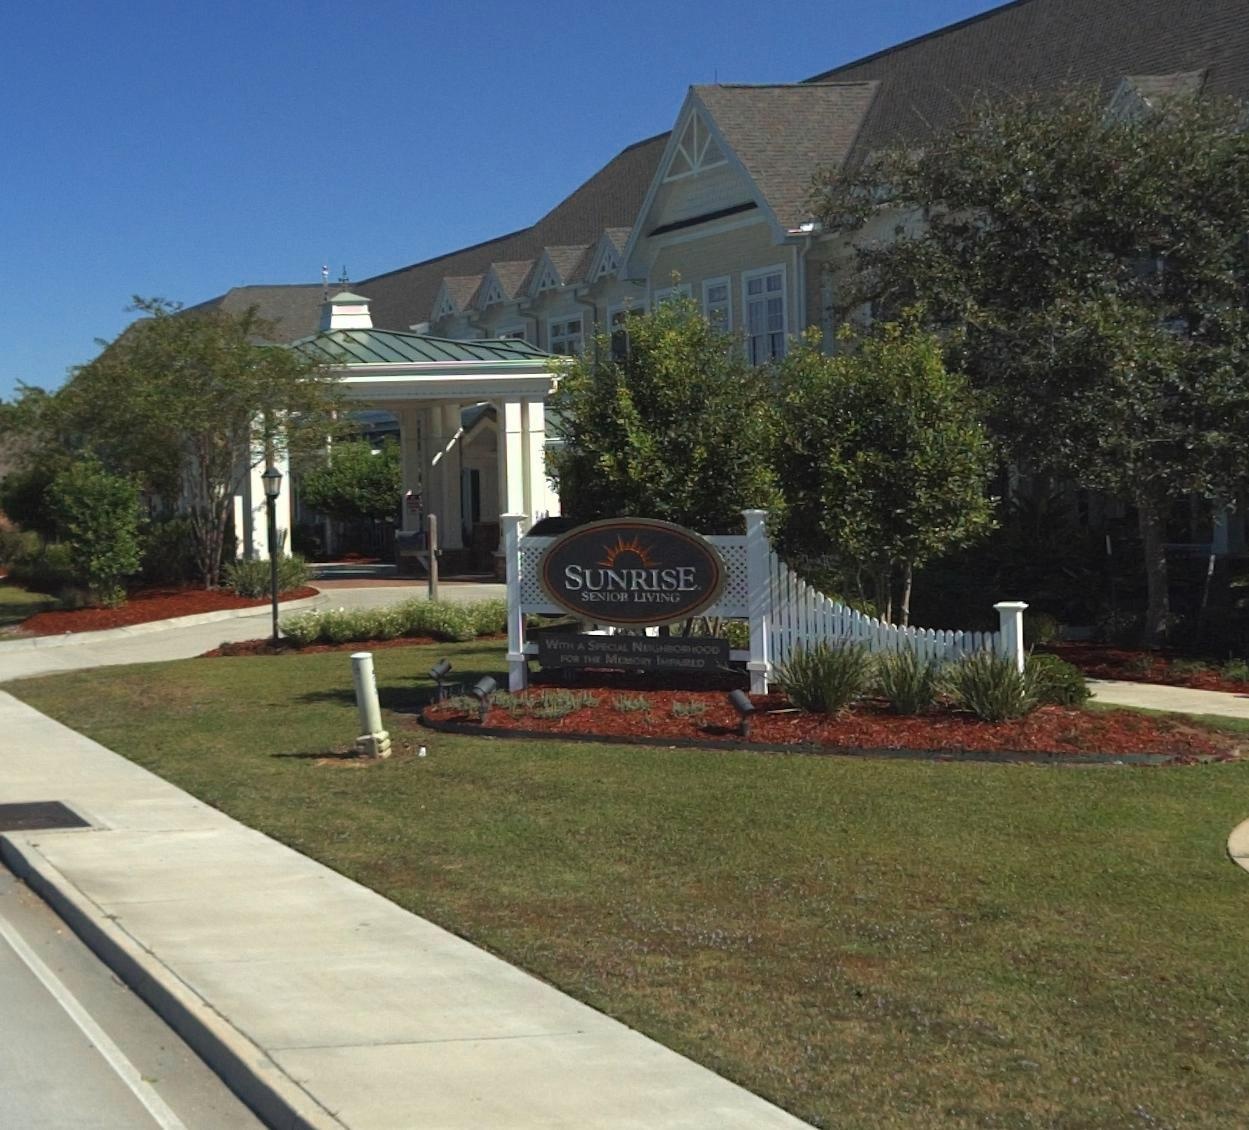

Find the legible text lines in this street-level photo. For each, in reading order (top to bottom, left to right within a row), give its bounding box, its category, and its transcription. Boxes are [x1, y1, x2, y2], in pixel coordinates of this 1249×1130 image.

[564, 563, 699, 591] BusinessName: SUNRISE
[580, 590, 682, 603] BusinessName: SENIOR LIVING
[544, 638, 720, 656] None: WITH A SPECIAL NEIGHBORHOOD
[559, 654, 706, 669] None: FOR THE MEMORY IMPAIRED